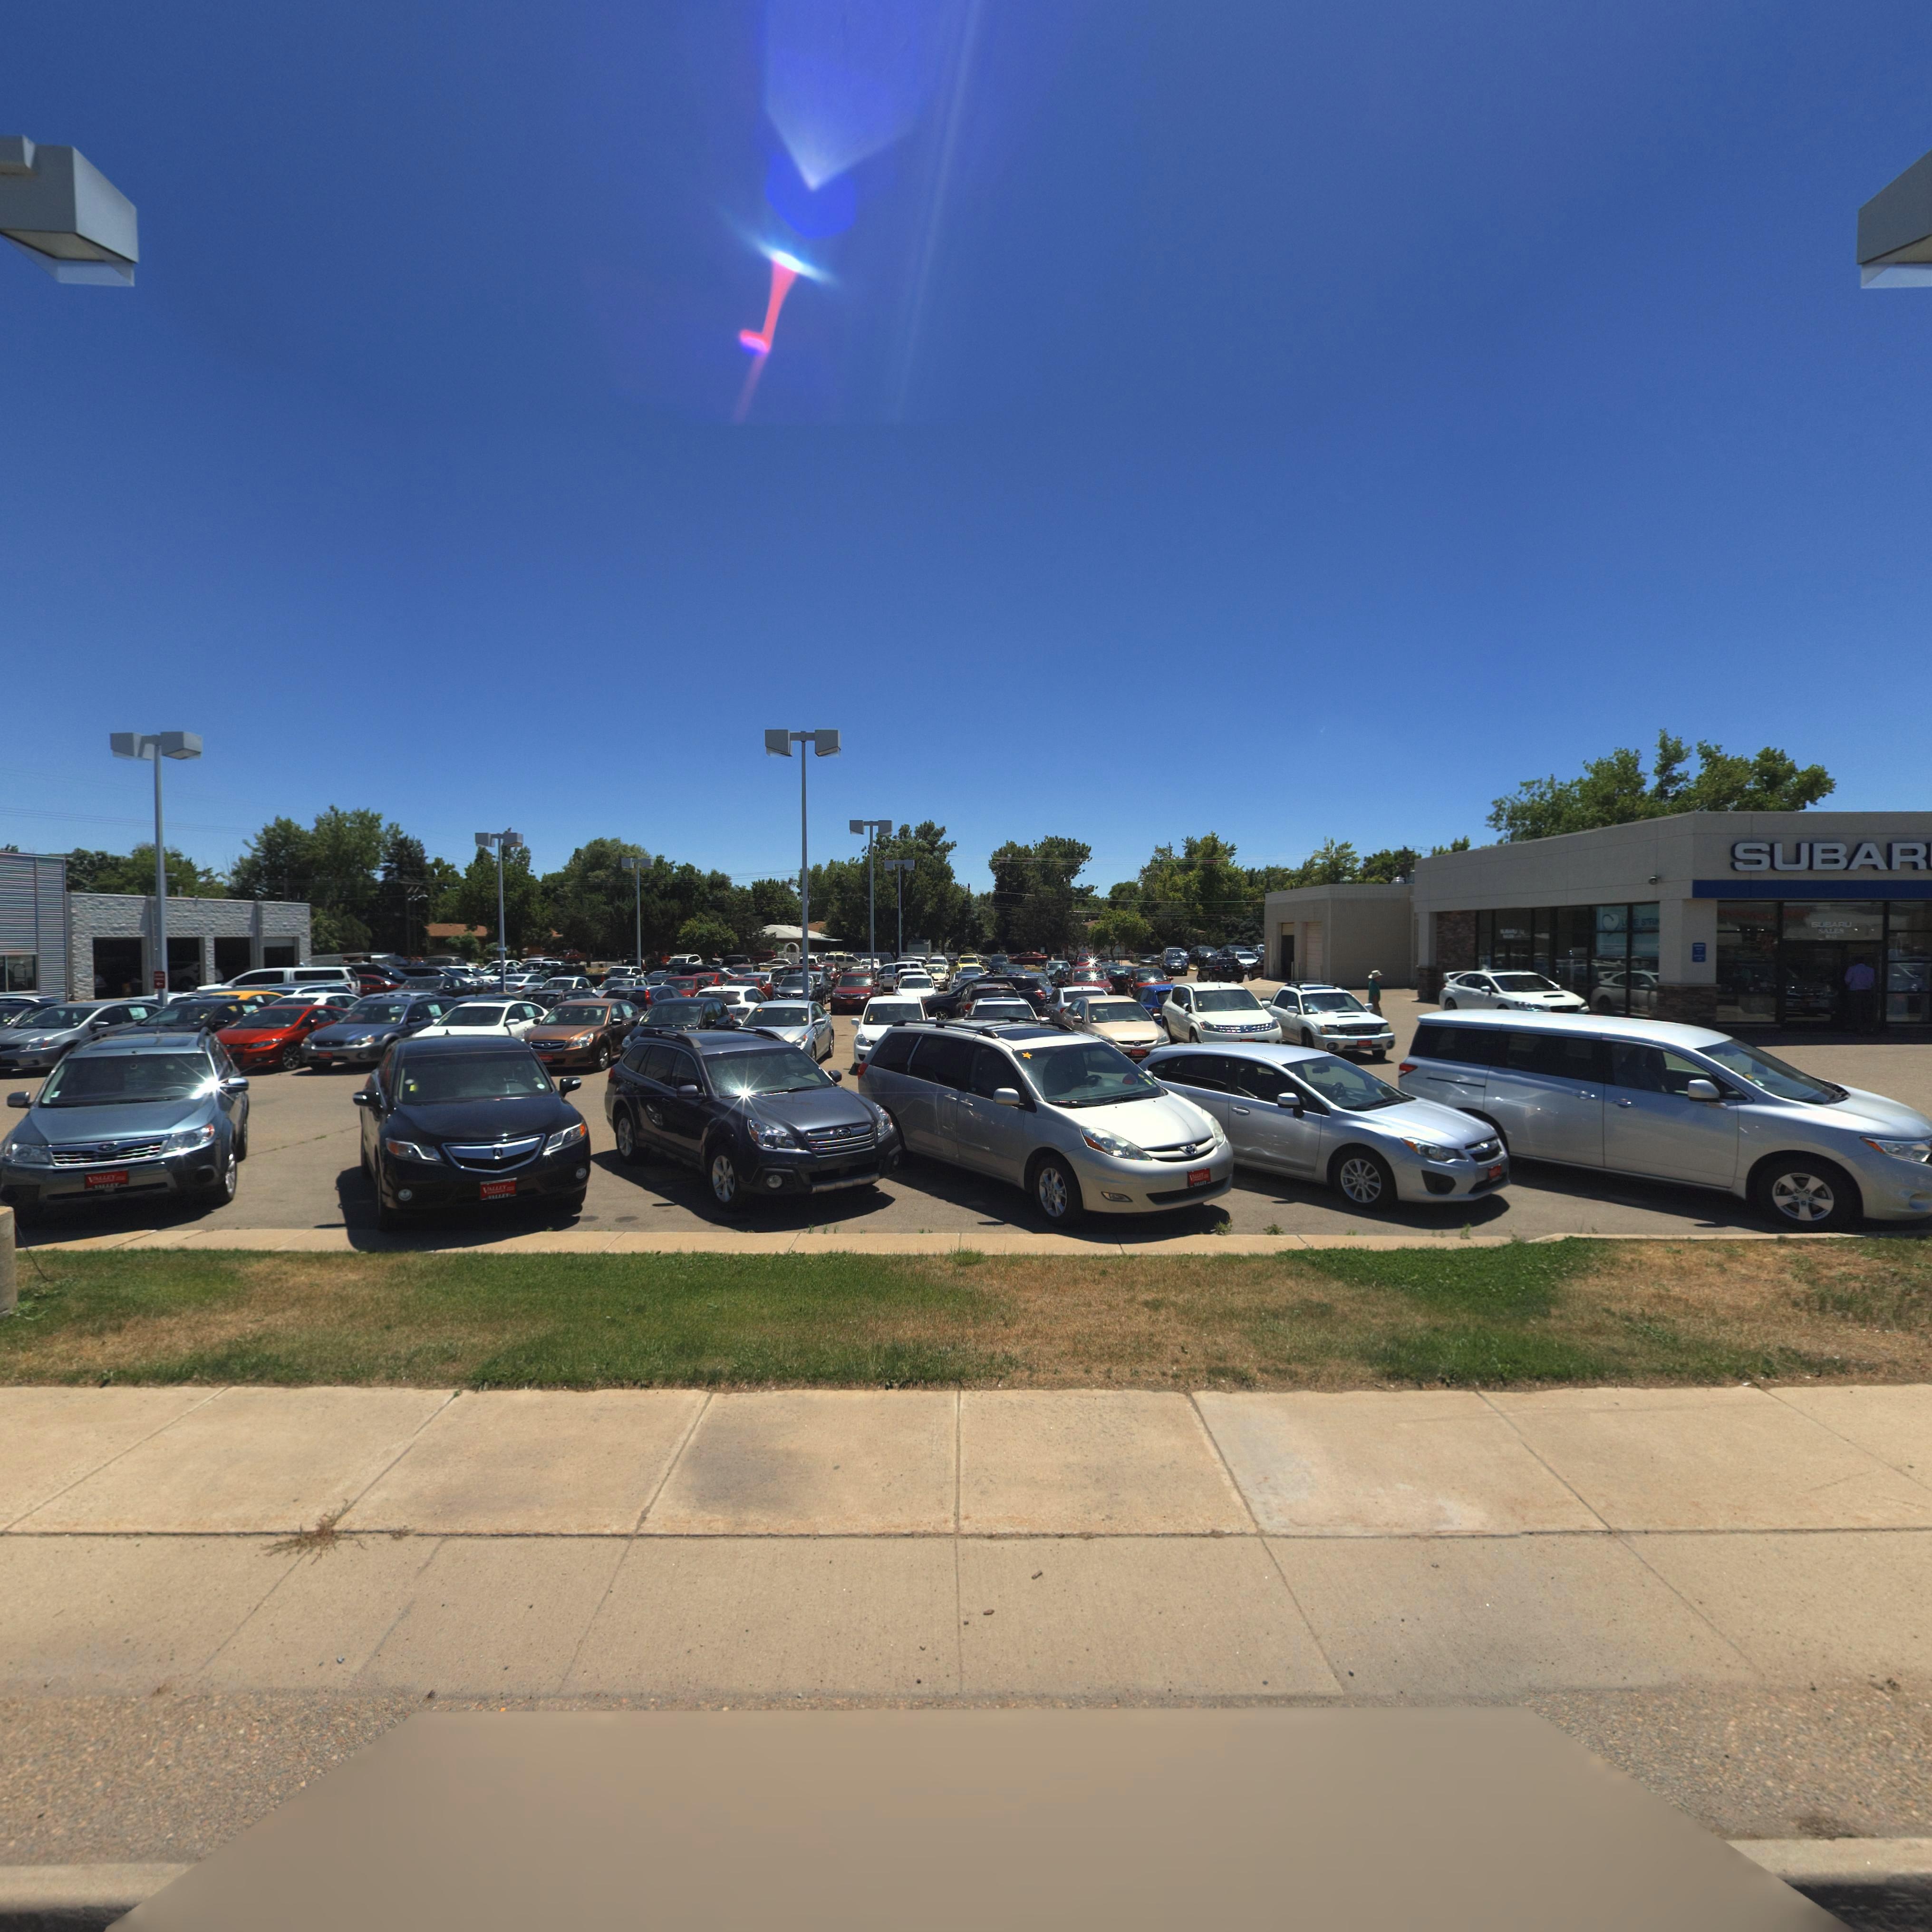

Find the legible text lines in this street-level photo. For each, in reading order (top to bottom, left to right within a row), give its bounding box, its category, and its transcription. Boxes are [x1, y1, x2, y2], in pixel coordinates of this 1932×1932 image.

[1734, 841, 1927, 872] BusinessName: SUBAR
[1811, 921, 1852, 927] BusinessName: SUBARU
[1818, 928, 1844, 934] BusinessName: SALES